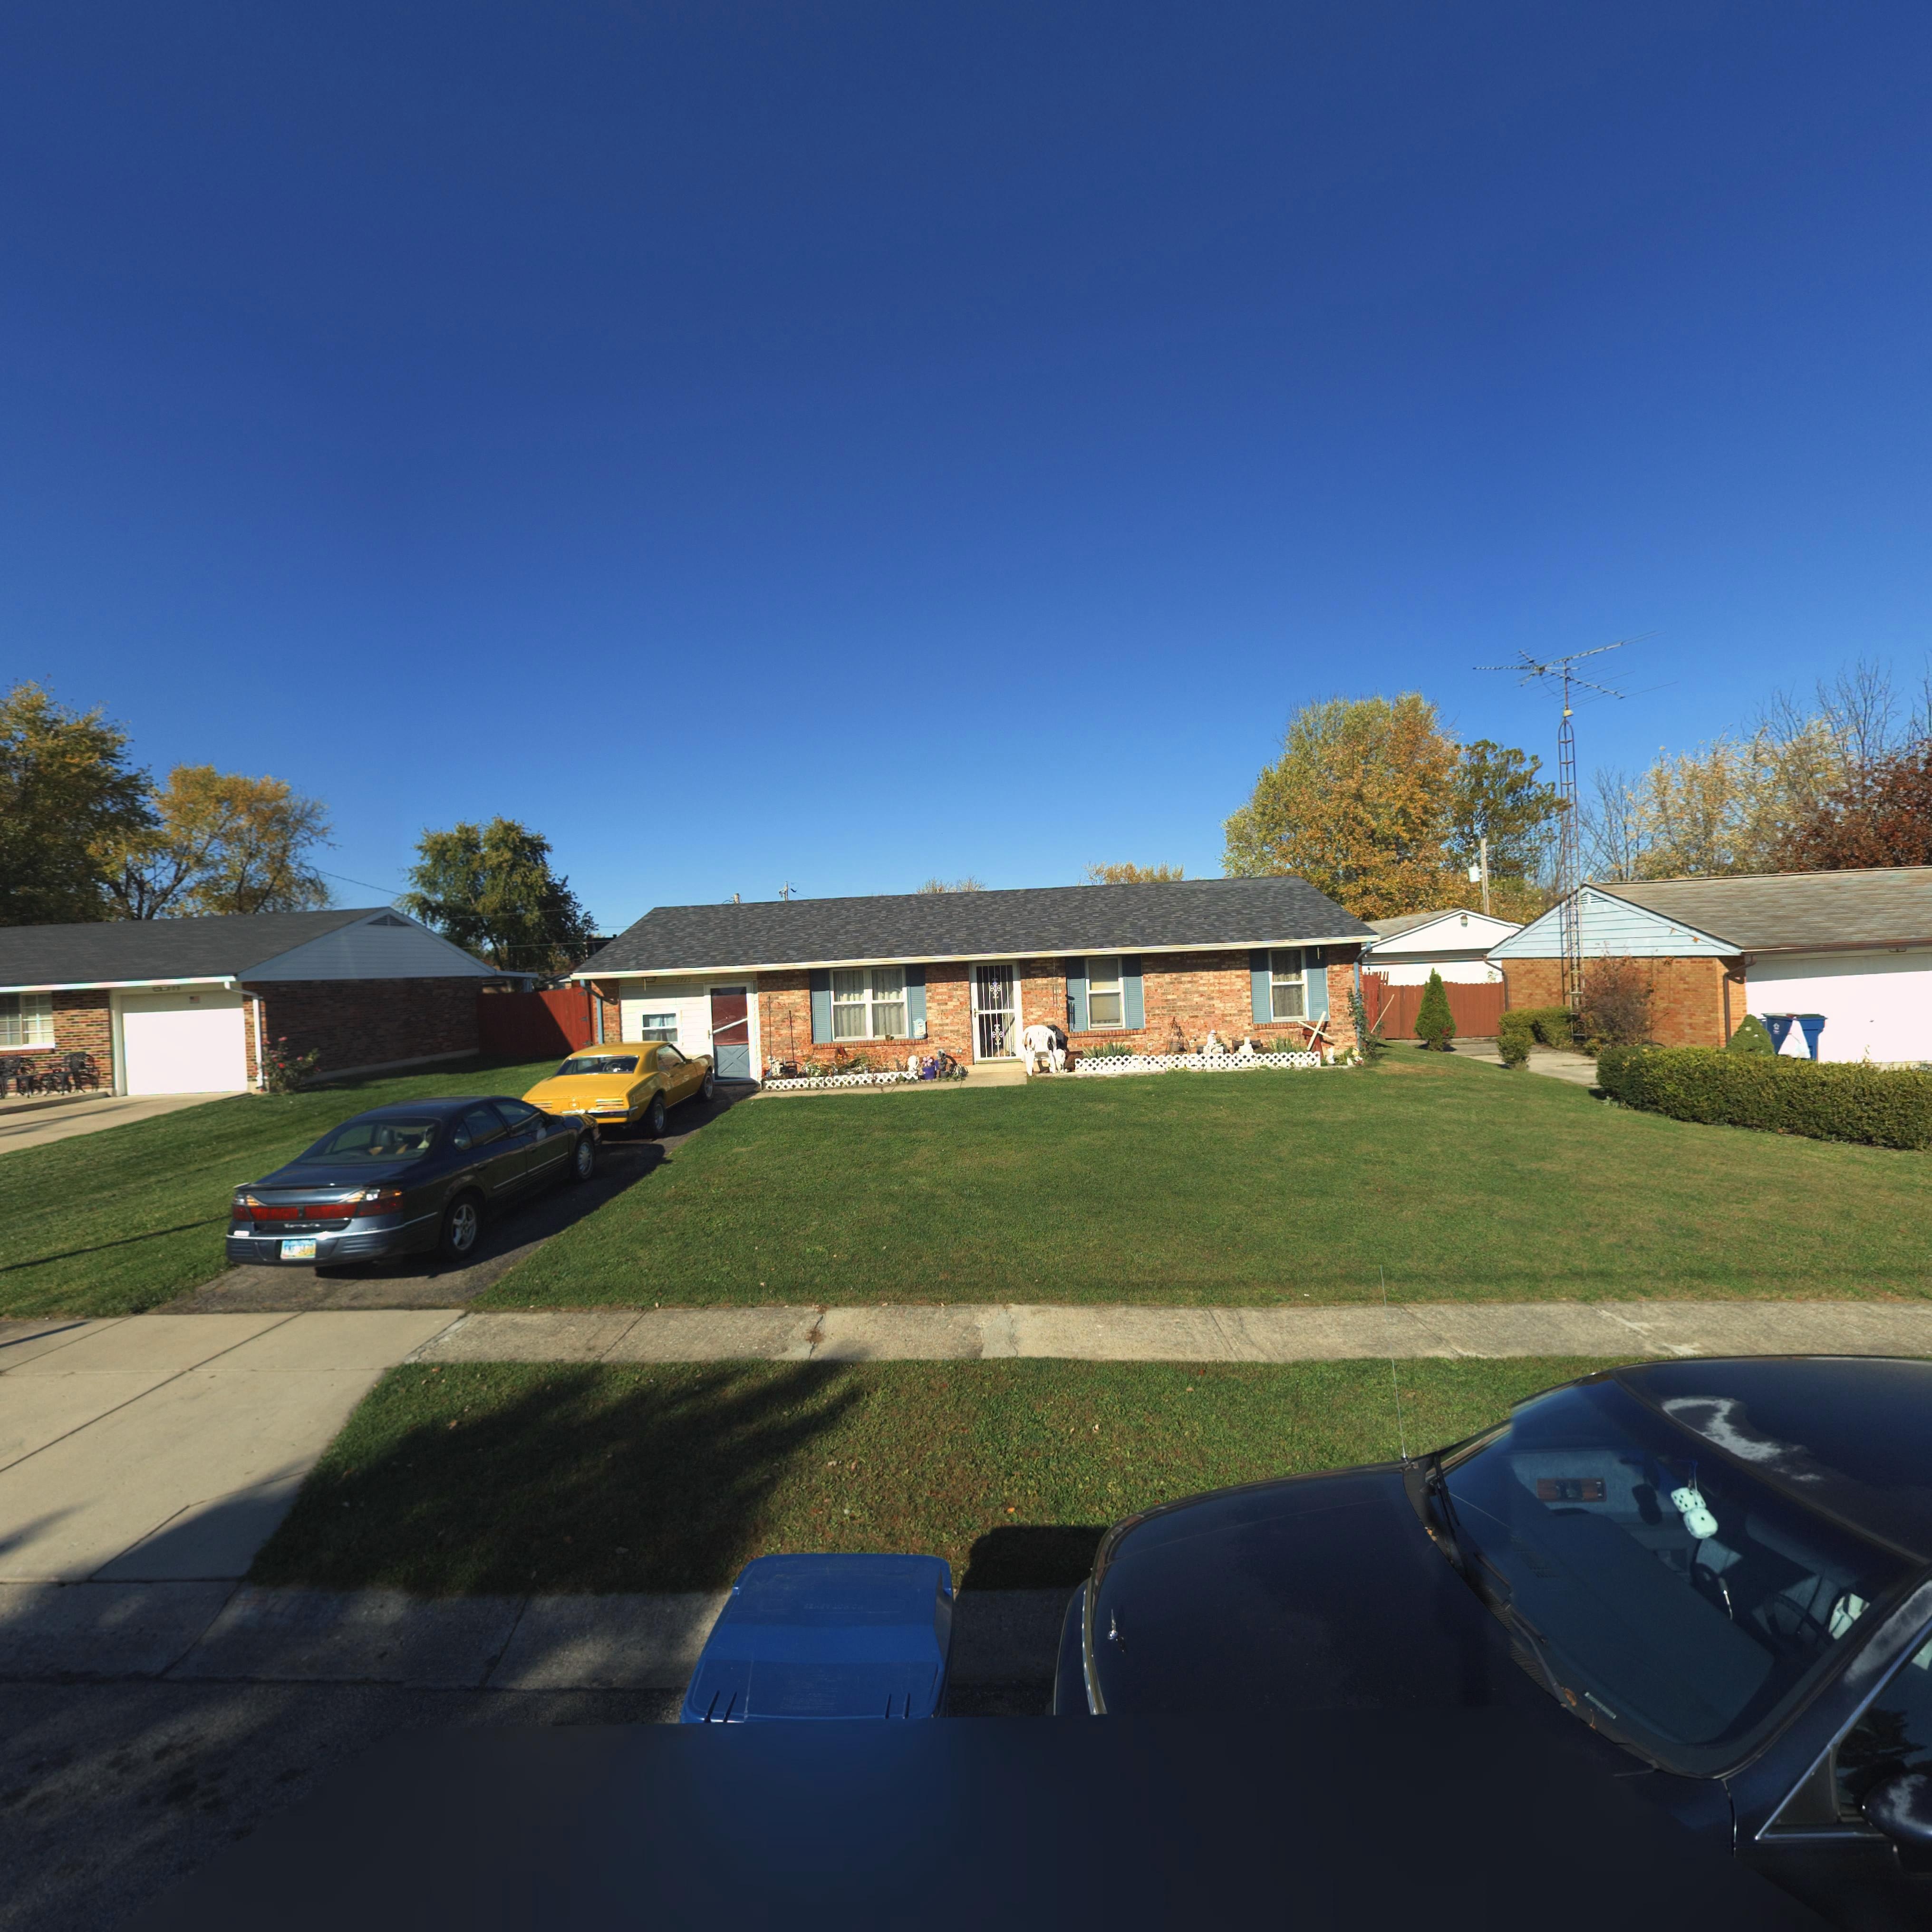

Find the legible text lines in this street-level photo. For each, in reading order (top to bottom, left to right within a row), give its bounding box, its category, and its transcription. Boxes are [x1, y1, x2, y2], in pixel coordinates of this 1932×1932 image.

[675, 976, 692, 984] StreetNumber: 7715
[171, 985, 181, 991] StreetNumber: 09